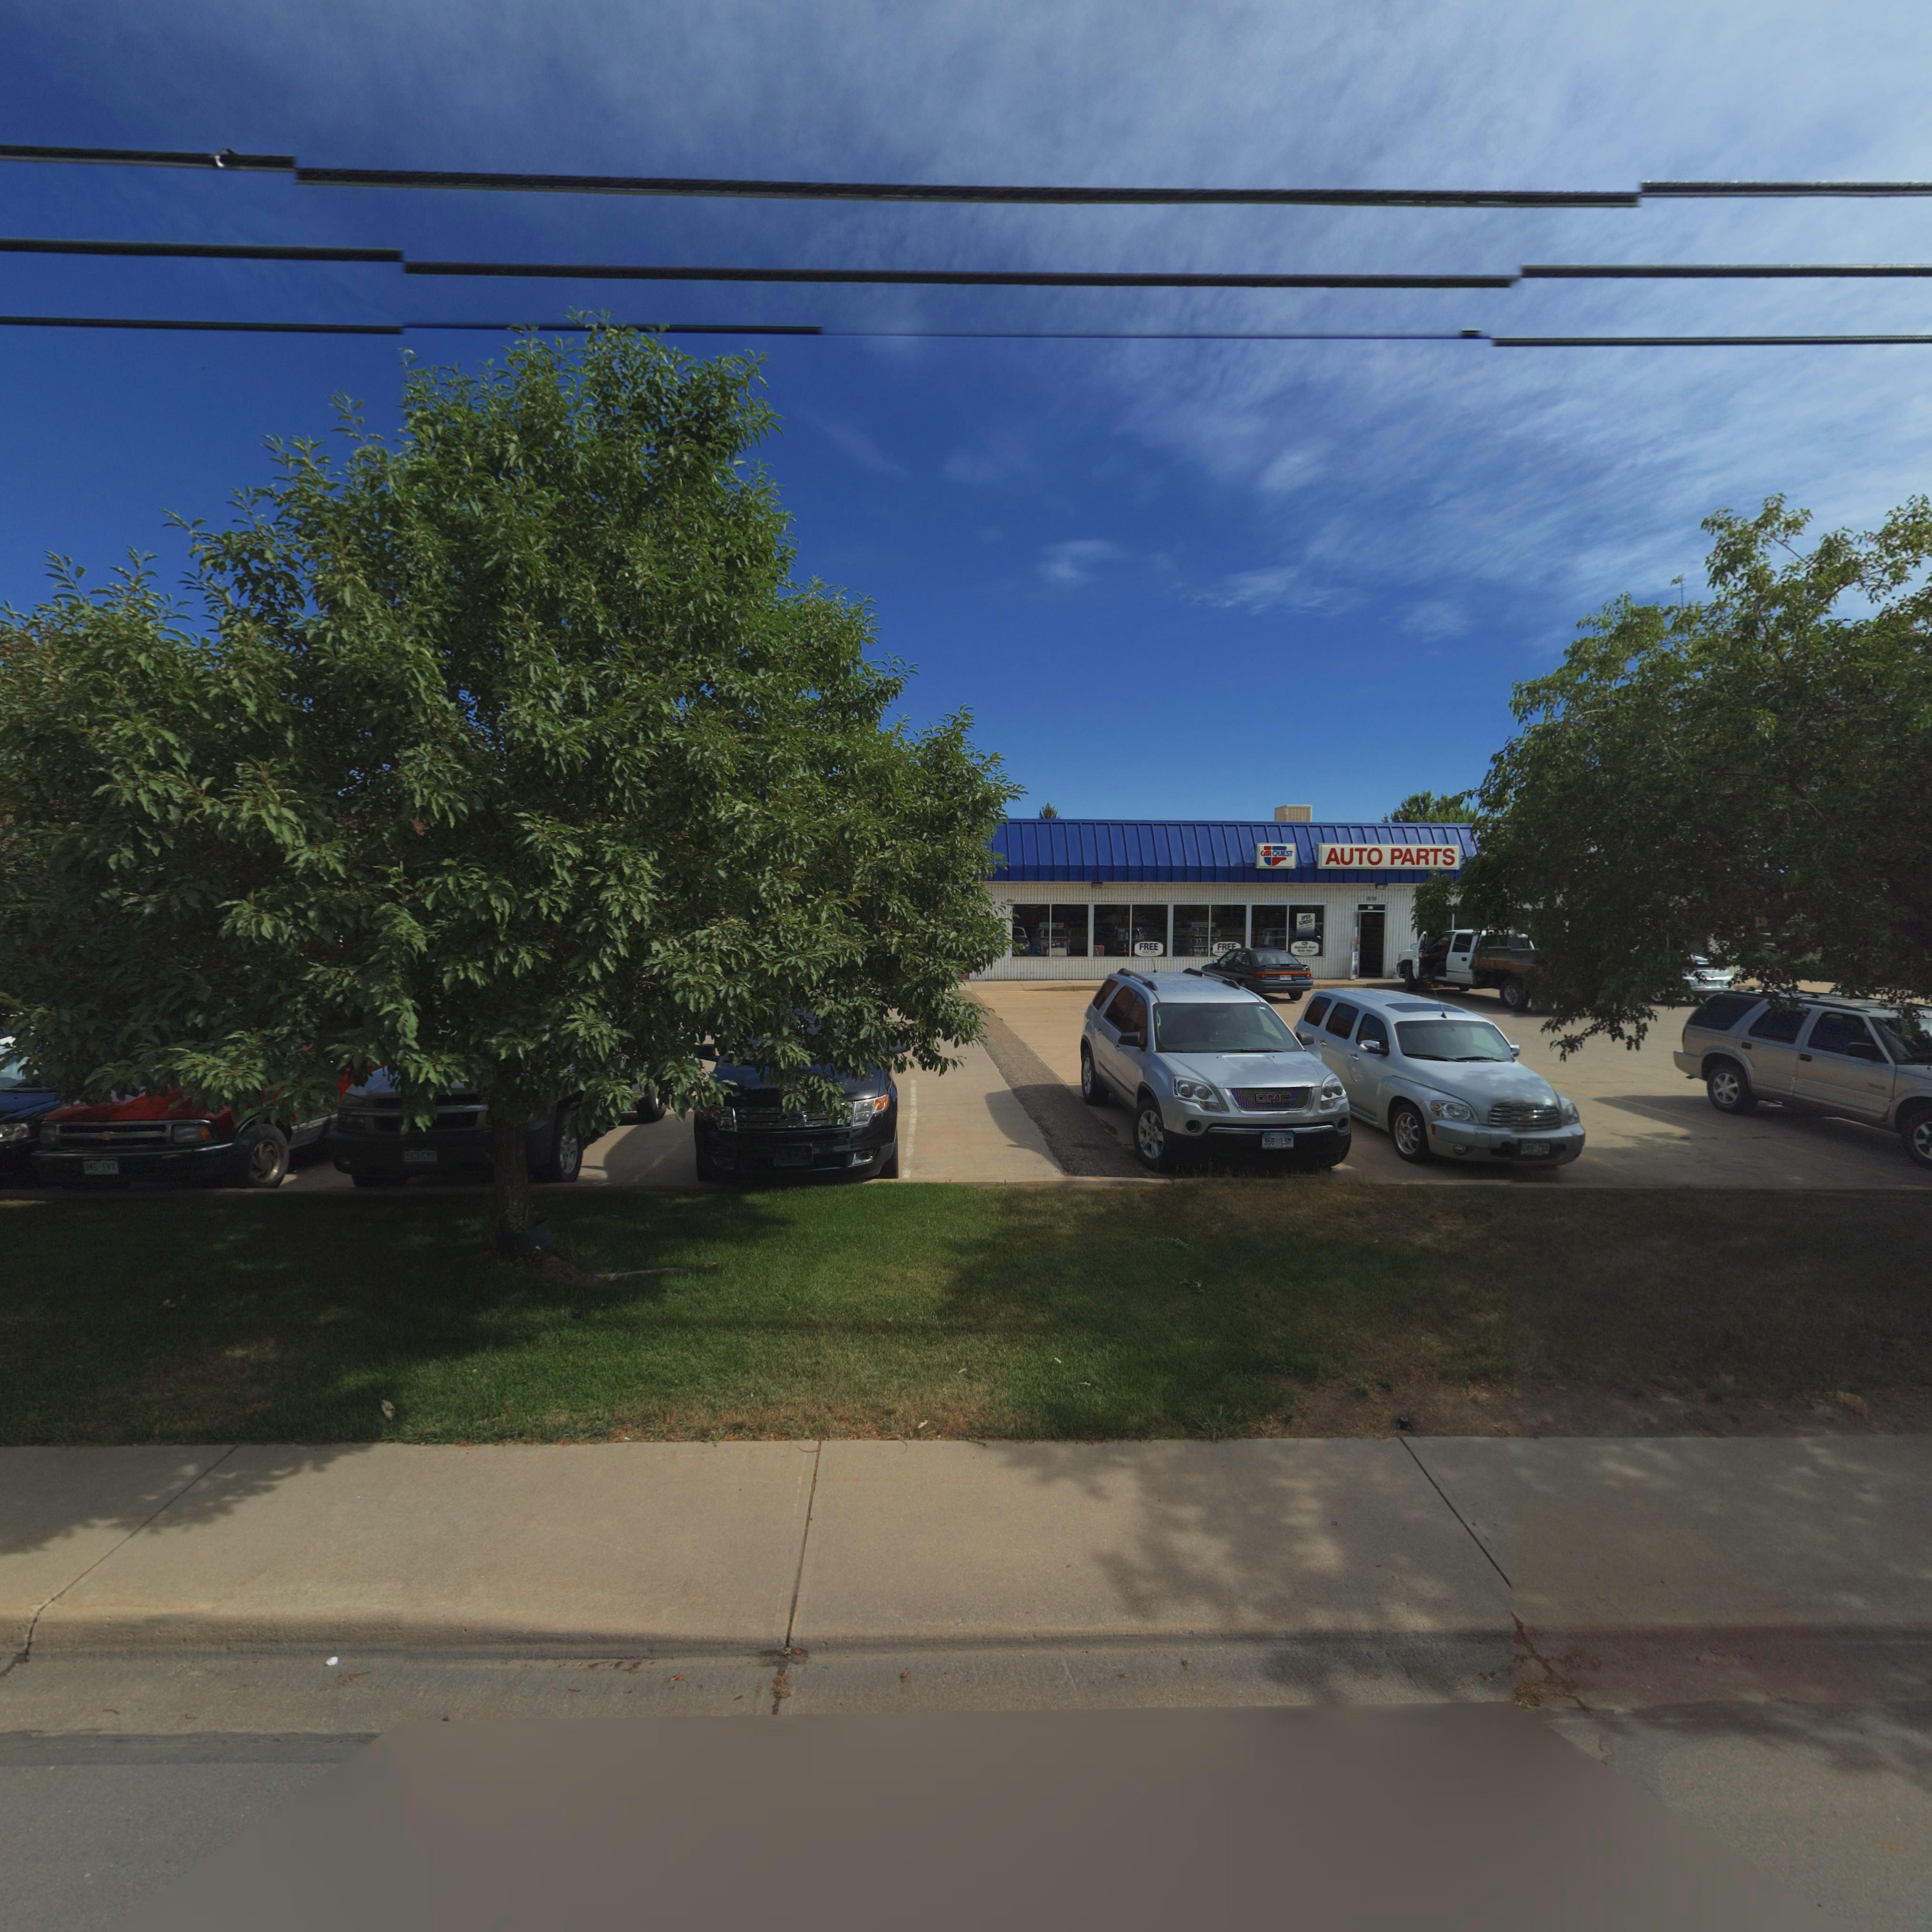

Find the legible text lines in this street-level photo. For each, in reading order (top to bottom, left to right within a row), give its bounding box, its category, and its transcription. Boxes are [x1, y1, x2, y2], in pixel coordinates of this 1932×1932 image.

[1260, 850, 1293, 857] BusinessName: CAR QUEST
[1324, 847, 1455, 866] BusinessName: AUTO PARTS
[1366, 896, 1376, 901] StreetNumber: **0